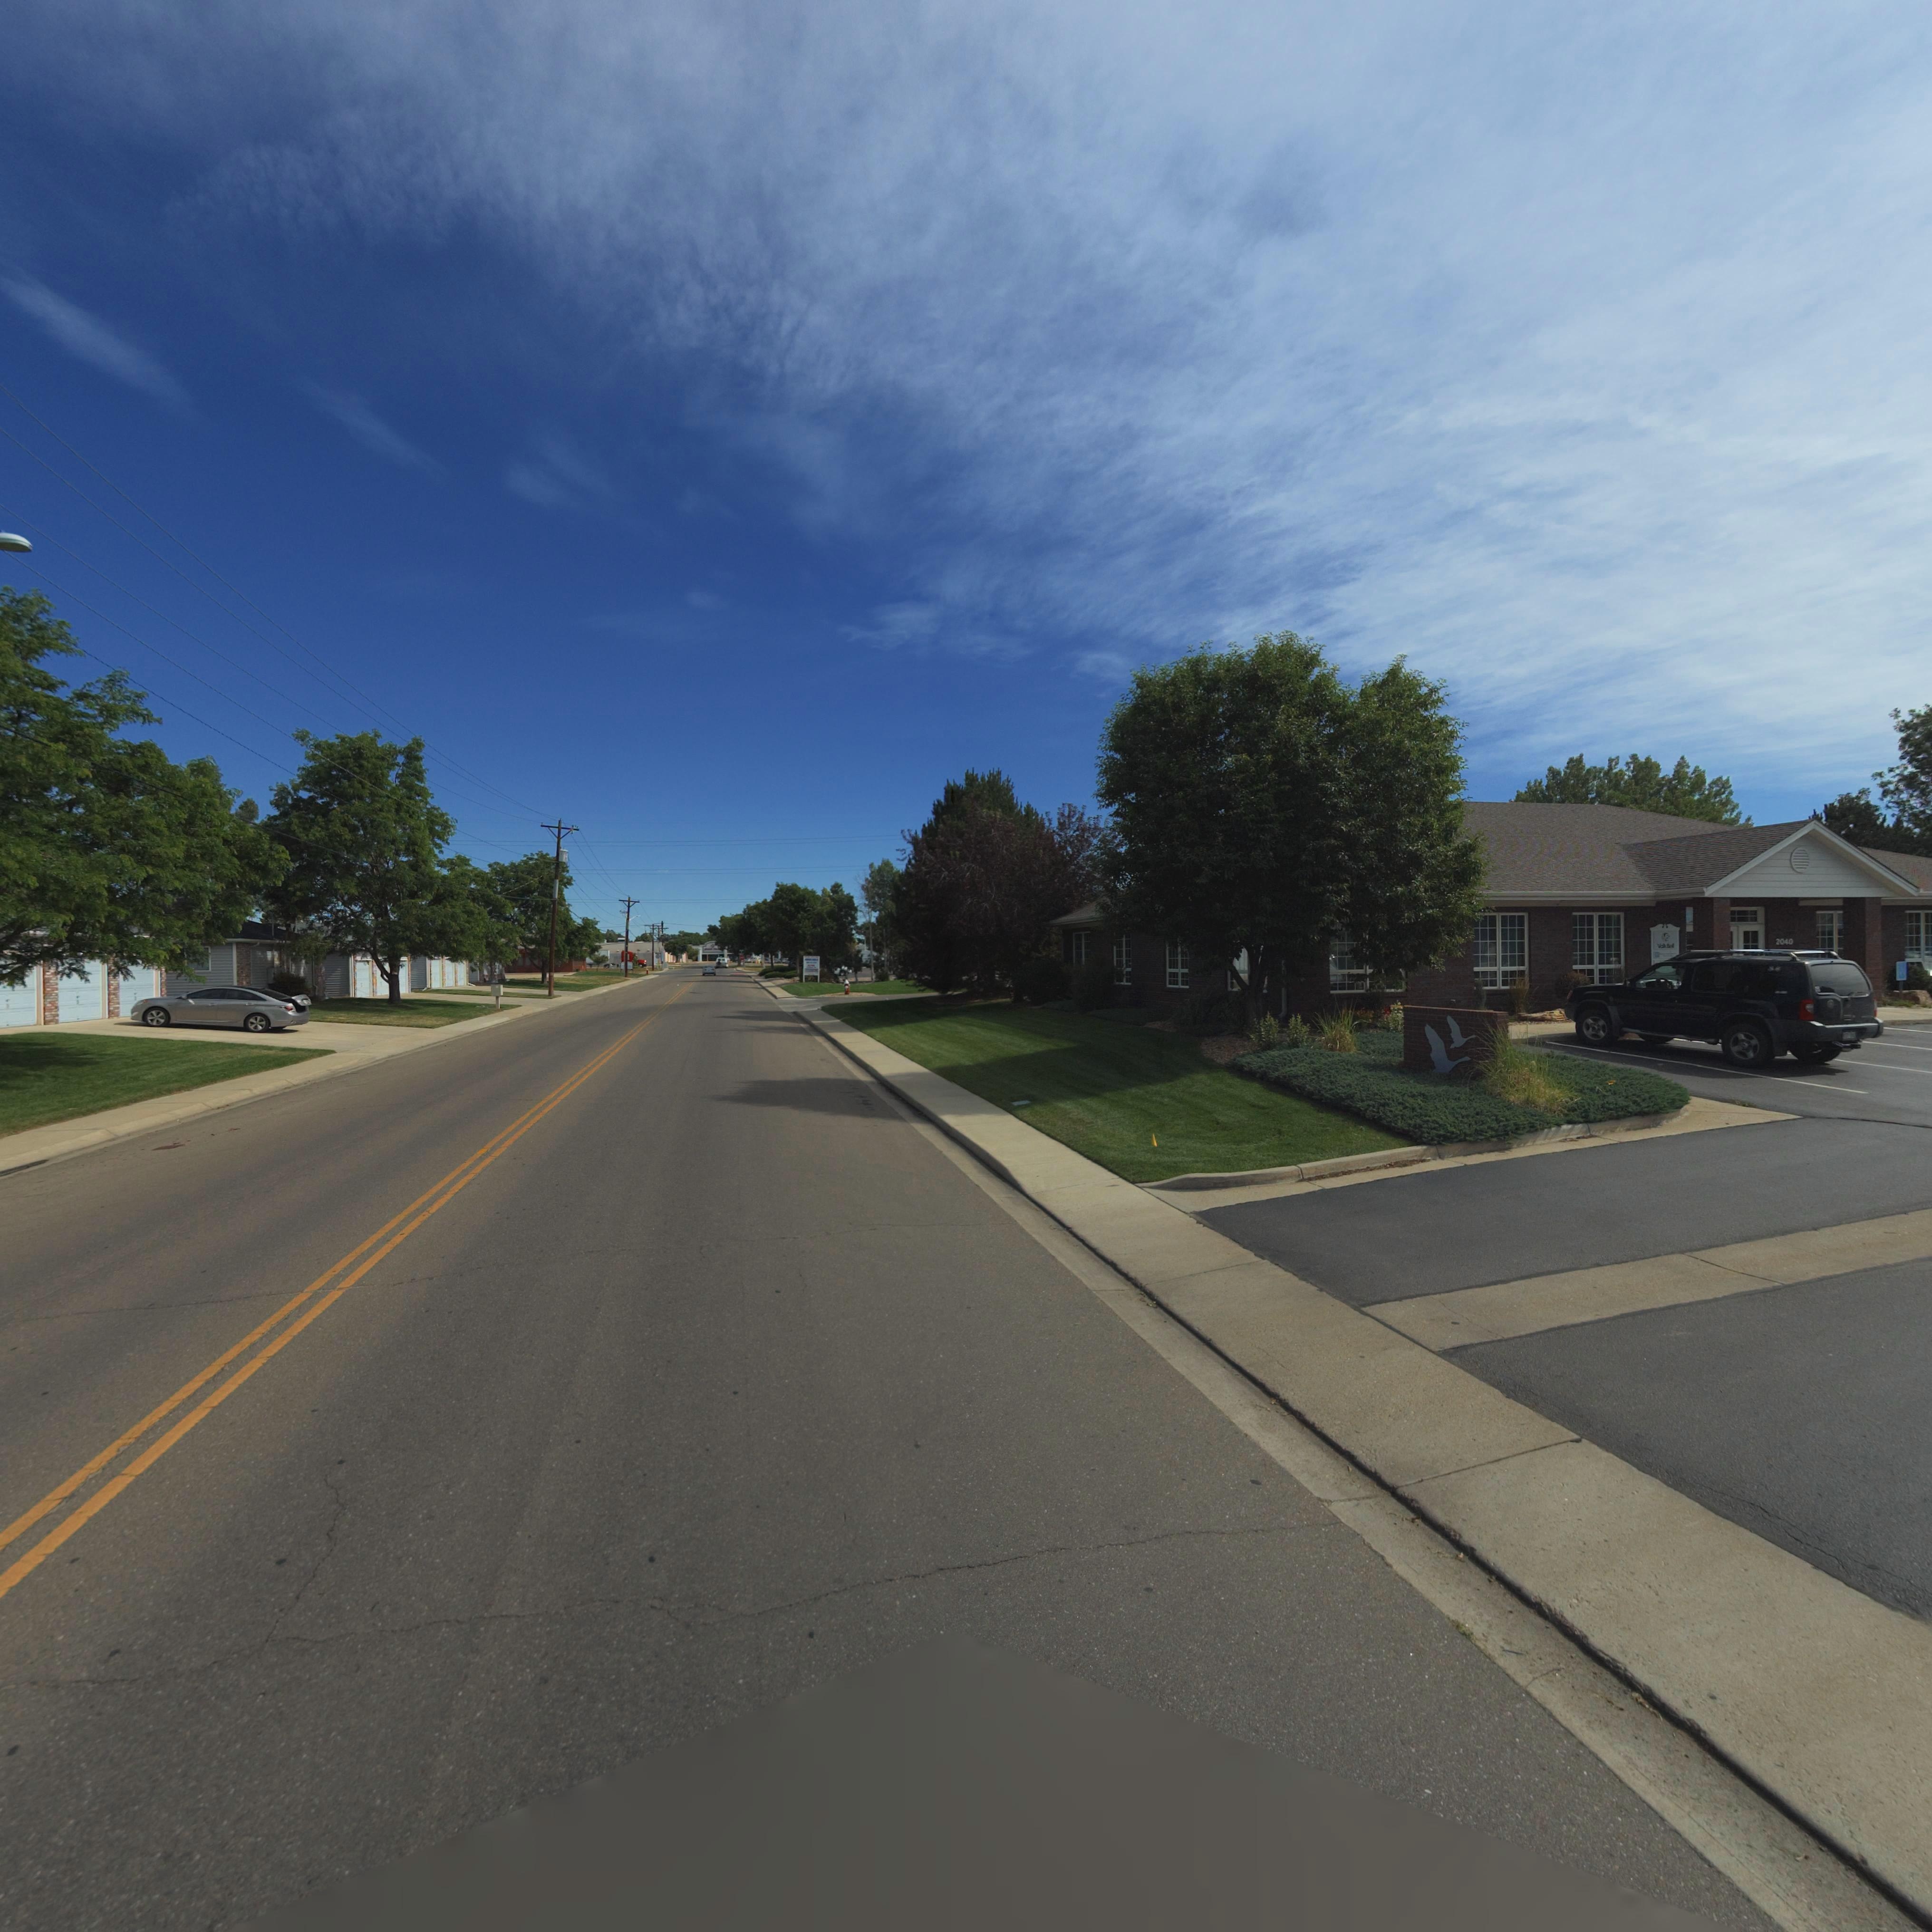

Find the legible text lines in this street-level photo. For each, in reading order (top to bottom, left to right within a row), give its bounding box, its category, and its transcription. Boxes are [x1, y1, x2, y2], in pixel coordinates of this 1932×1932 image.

[1661, 932, 1670, 941] BusinessName: *B
[1775, 938, 1794, 945] StreetNumber: 2040
[1656, 942, 1675, 948] BusinessName: V*** B***